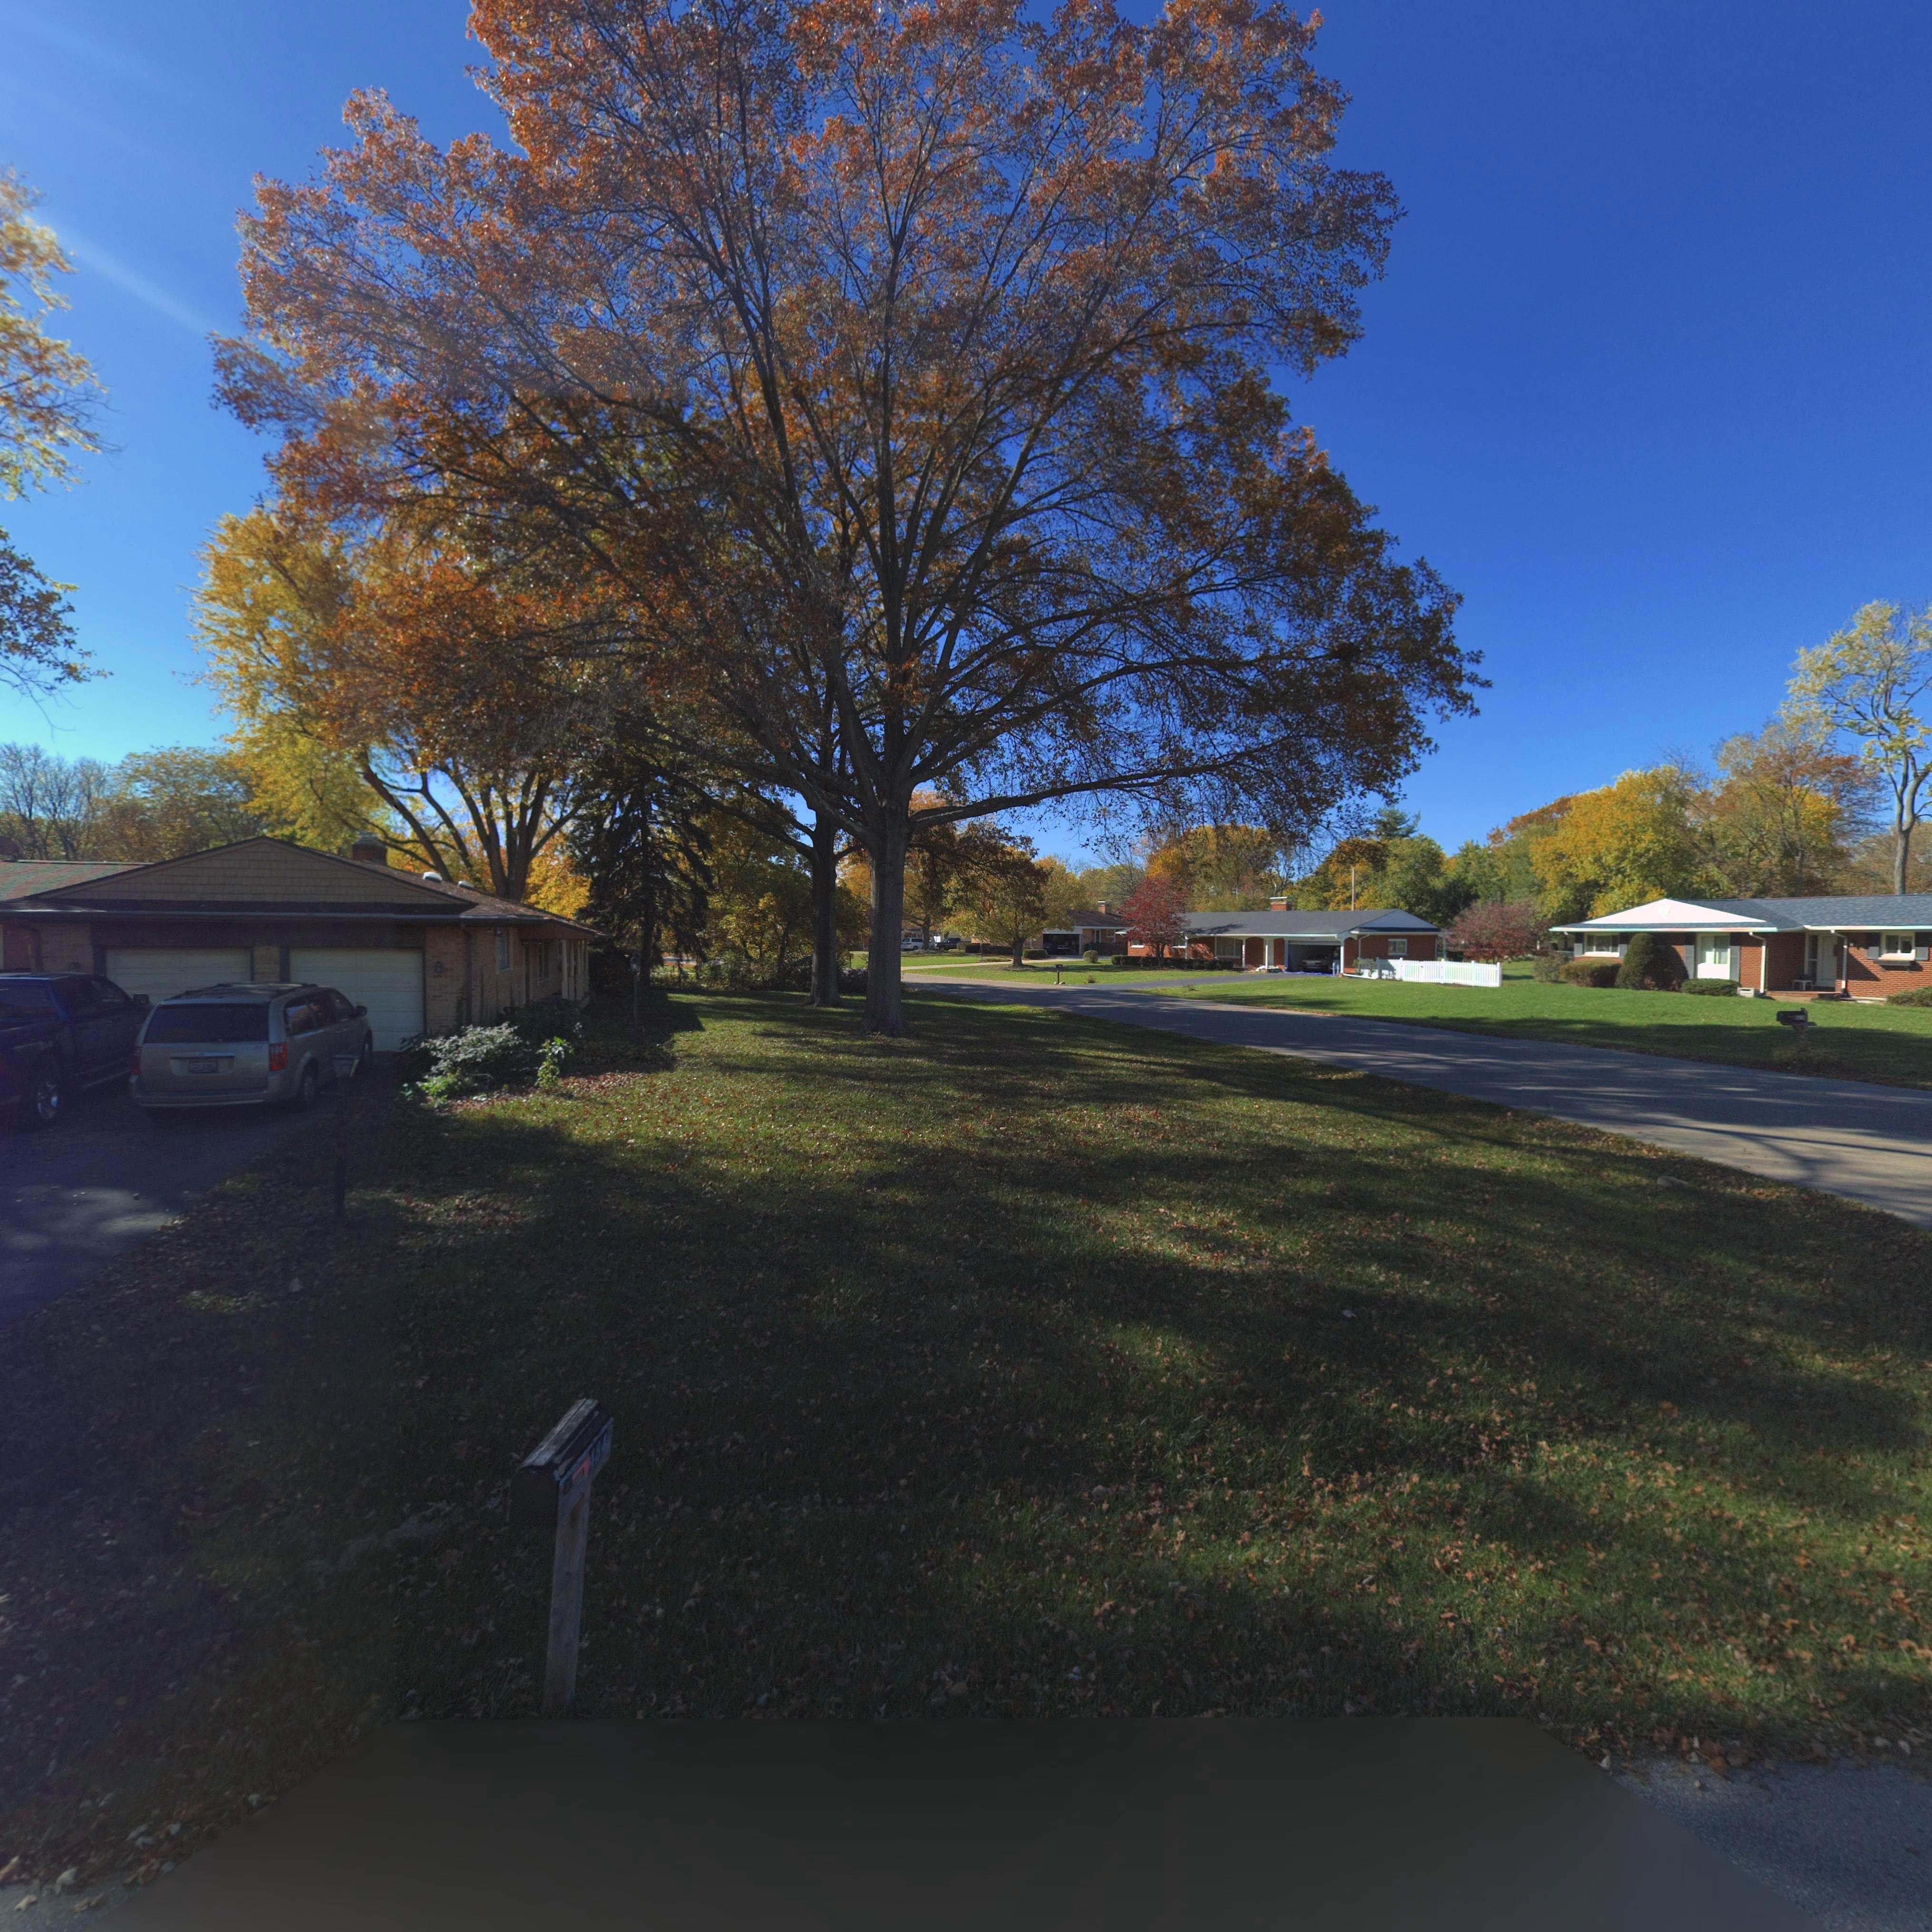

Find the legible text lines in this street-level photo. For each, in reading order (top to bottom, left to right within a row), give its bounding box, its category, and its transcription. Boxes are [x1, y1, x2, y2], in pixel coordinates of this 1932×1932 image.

[589, 1430, 607, 1471] StreetNumber: 484